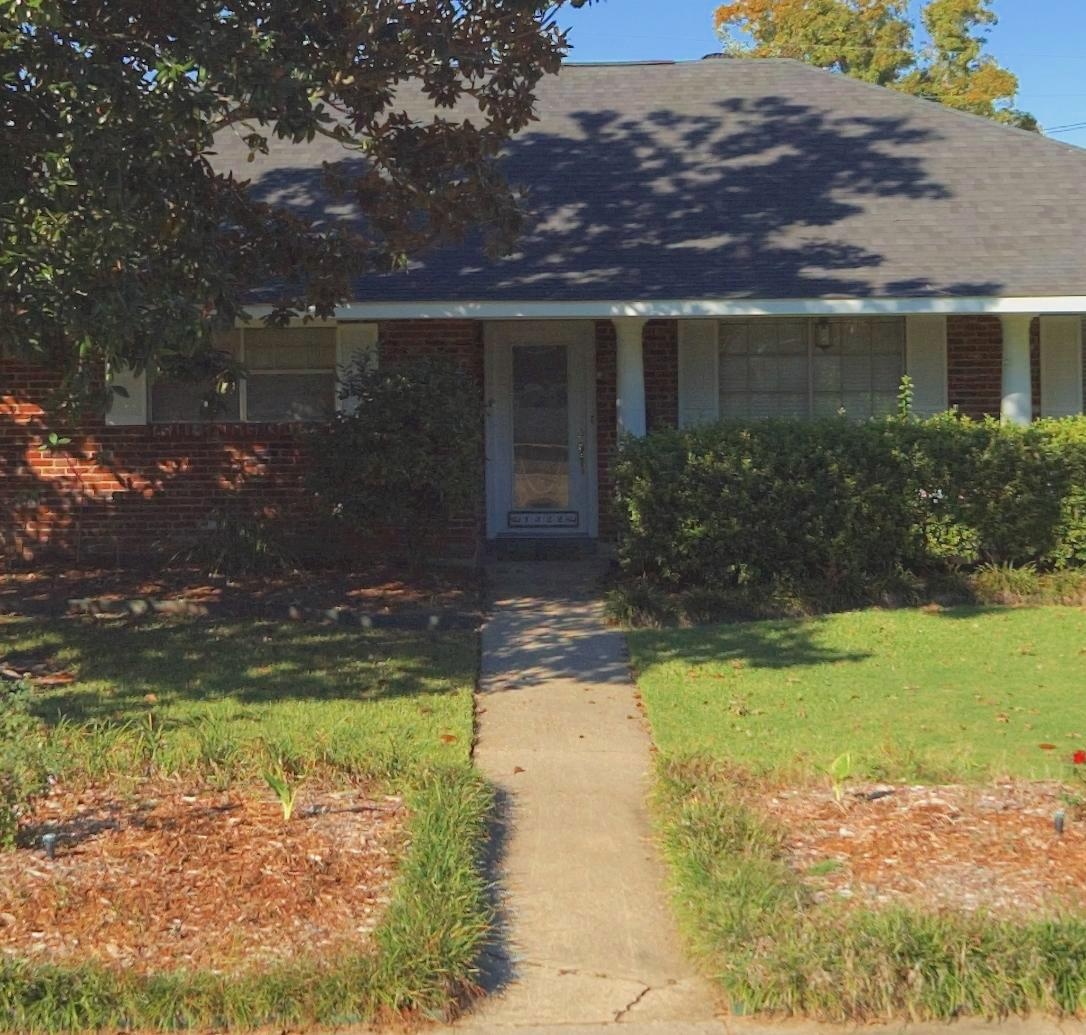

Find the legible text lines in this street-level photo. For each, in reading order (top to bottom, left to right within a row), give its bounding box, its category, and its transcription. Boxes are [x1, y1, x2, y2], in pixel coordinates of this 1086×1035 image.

[522, 513, 565, 525] StreetNumber: 1322